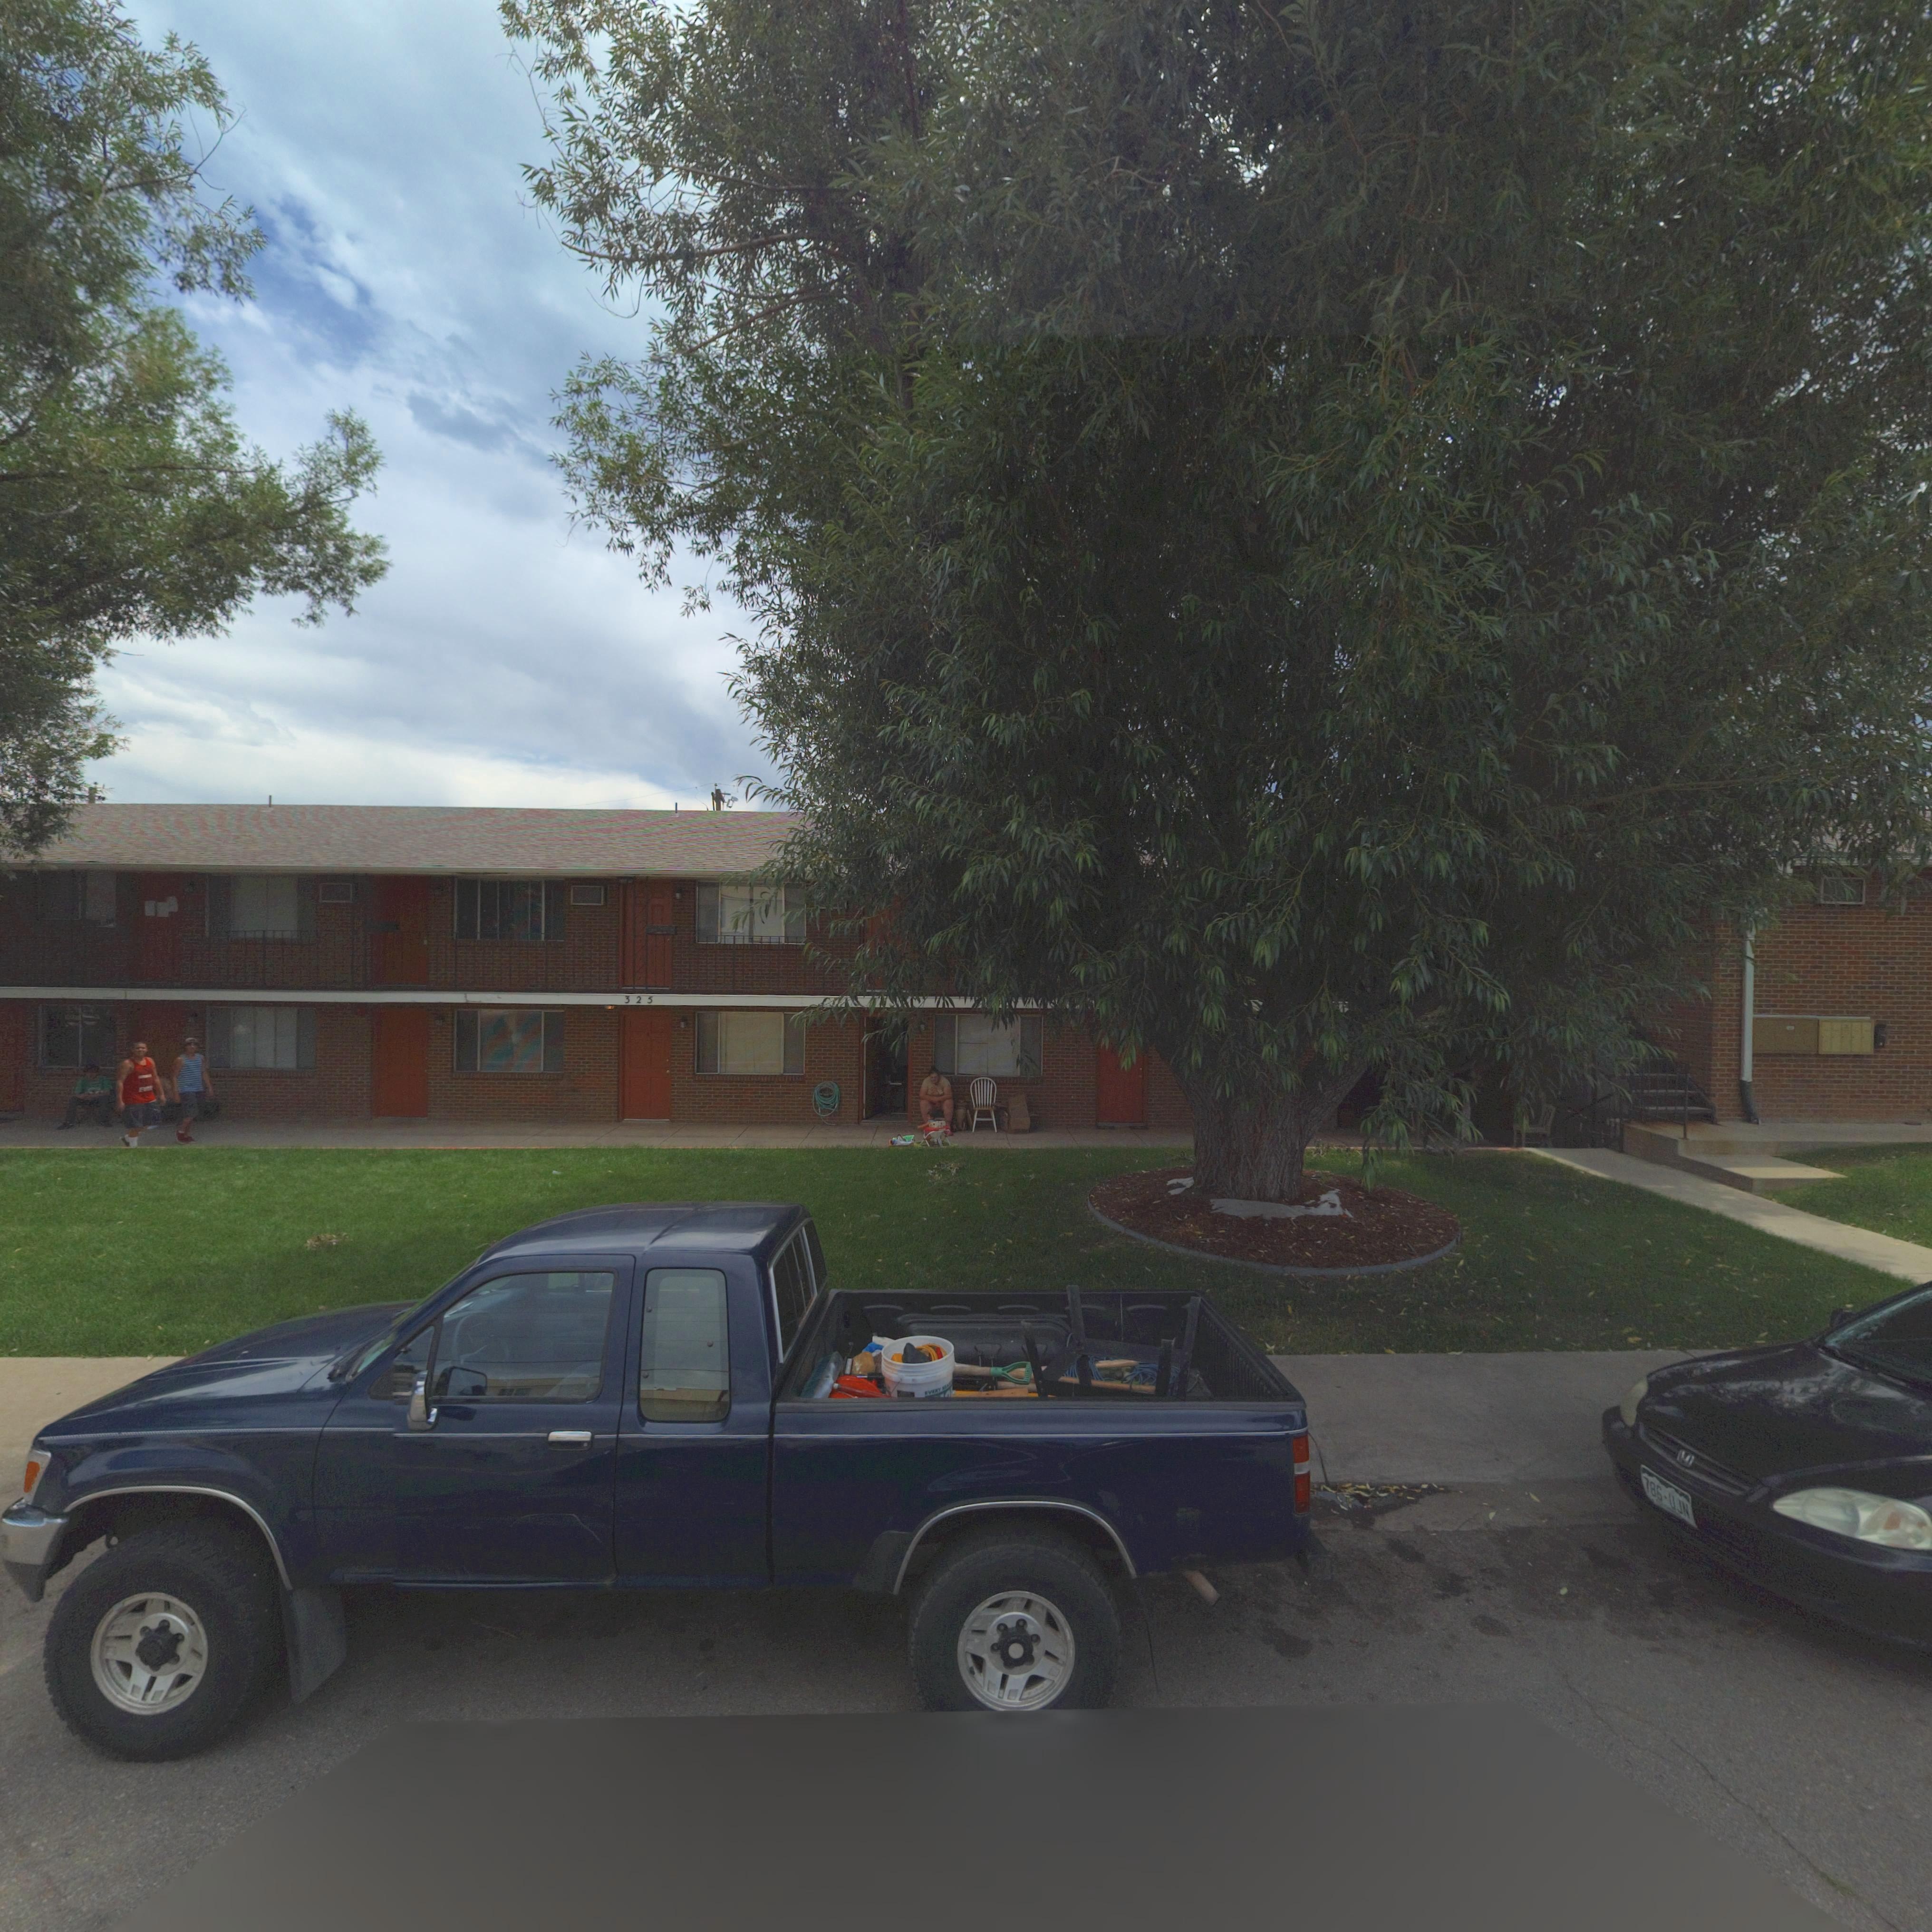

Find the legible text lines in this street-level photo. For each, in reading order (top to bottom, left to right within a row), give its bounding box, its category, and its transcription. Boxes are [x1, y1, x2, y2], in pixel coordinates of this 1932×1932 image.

[623, 995, 653, 1004] StreetNumber: 325